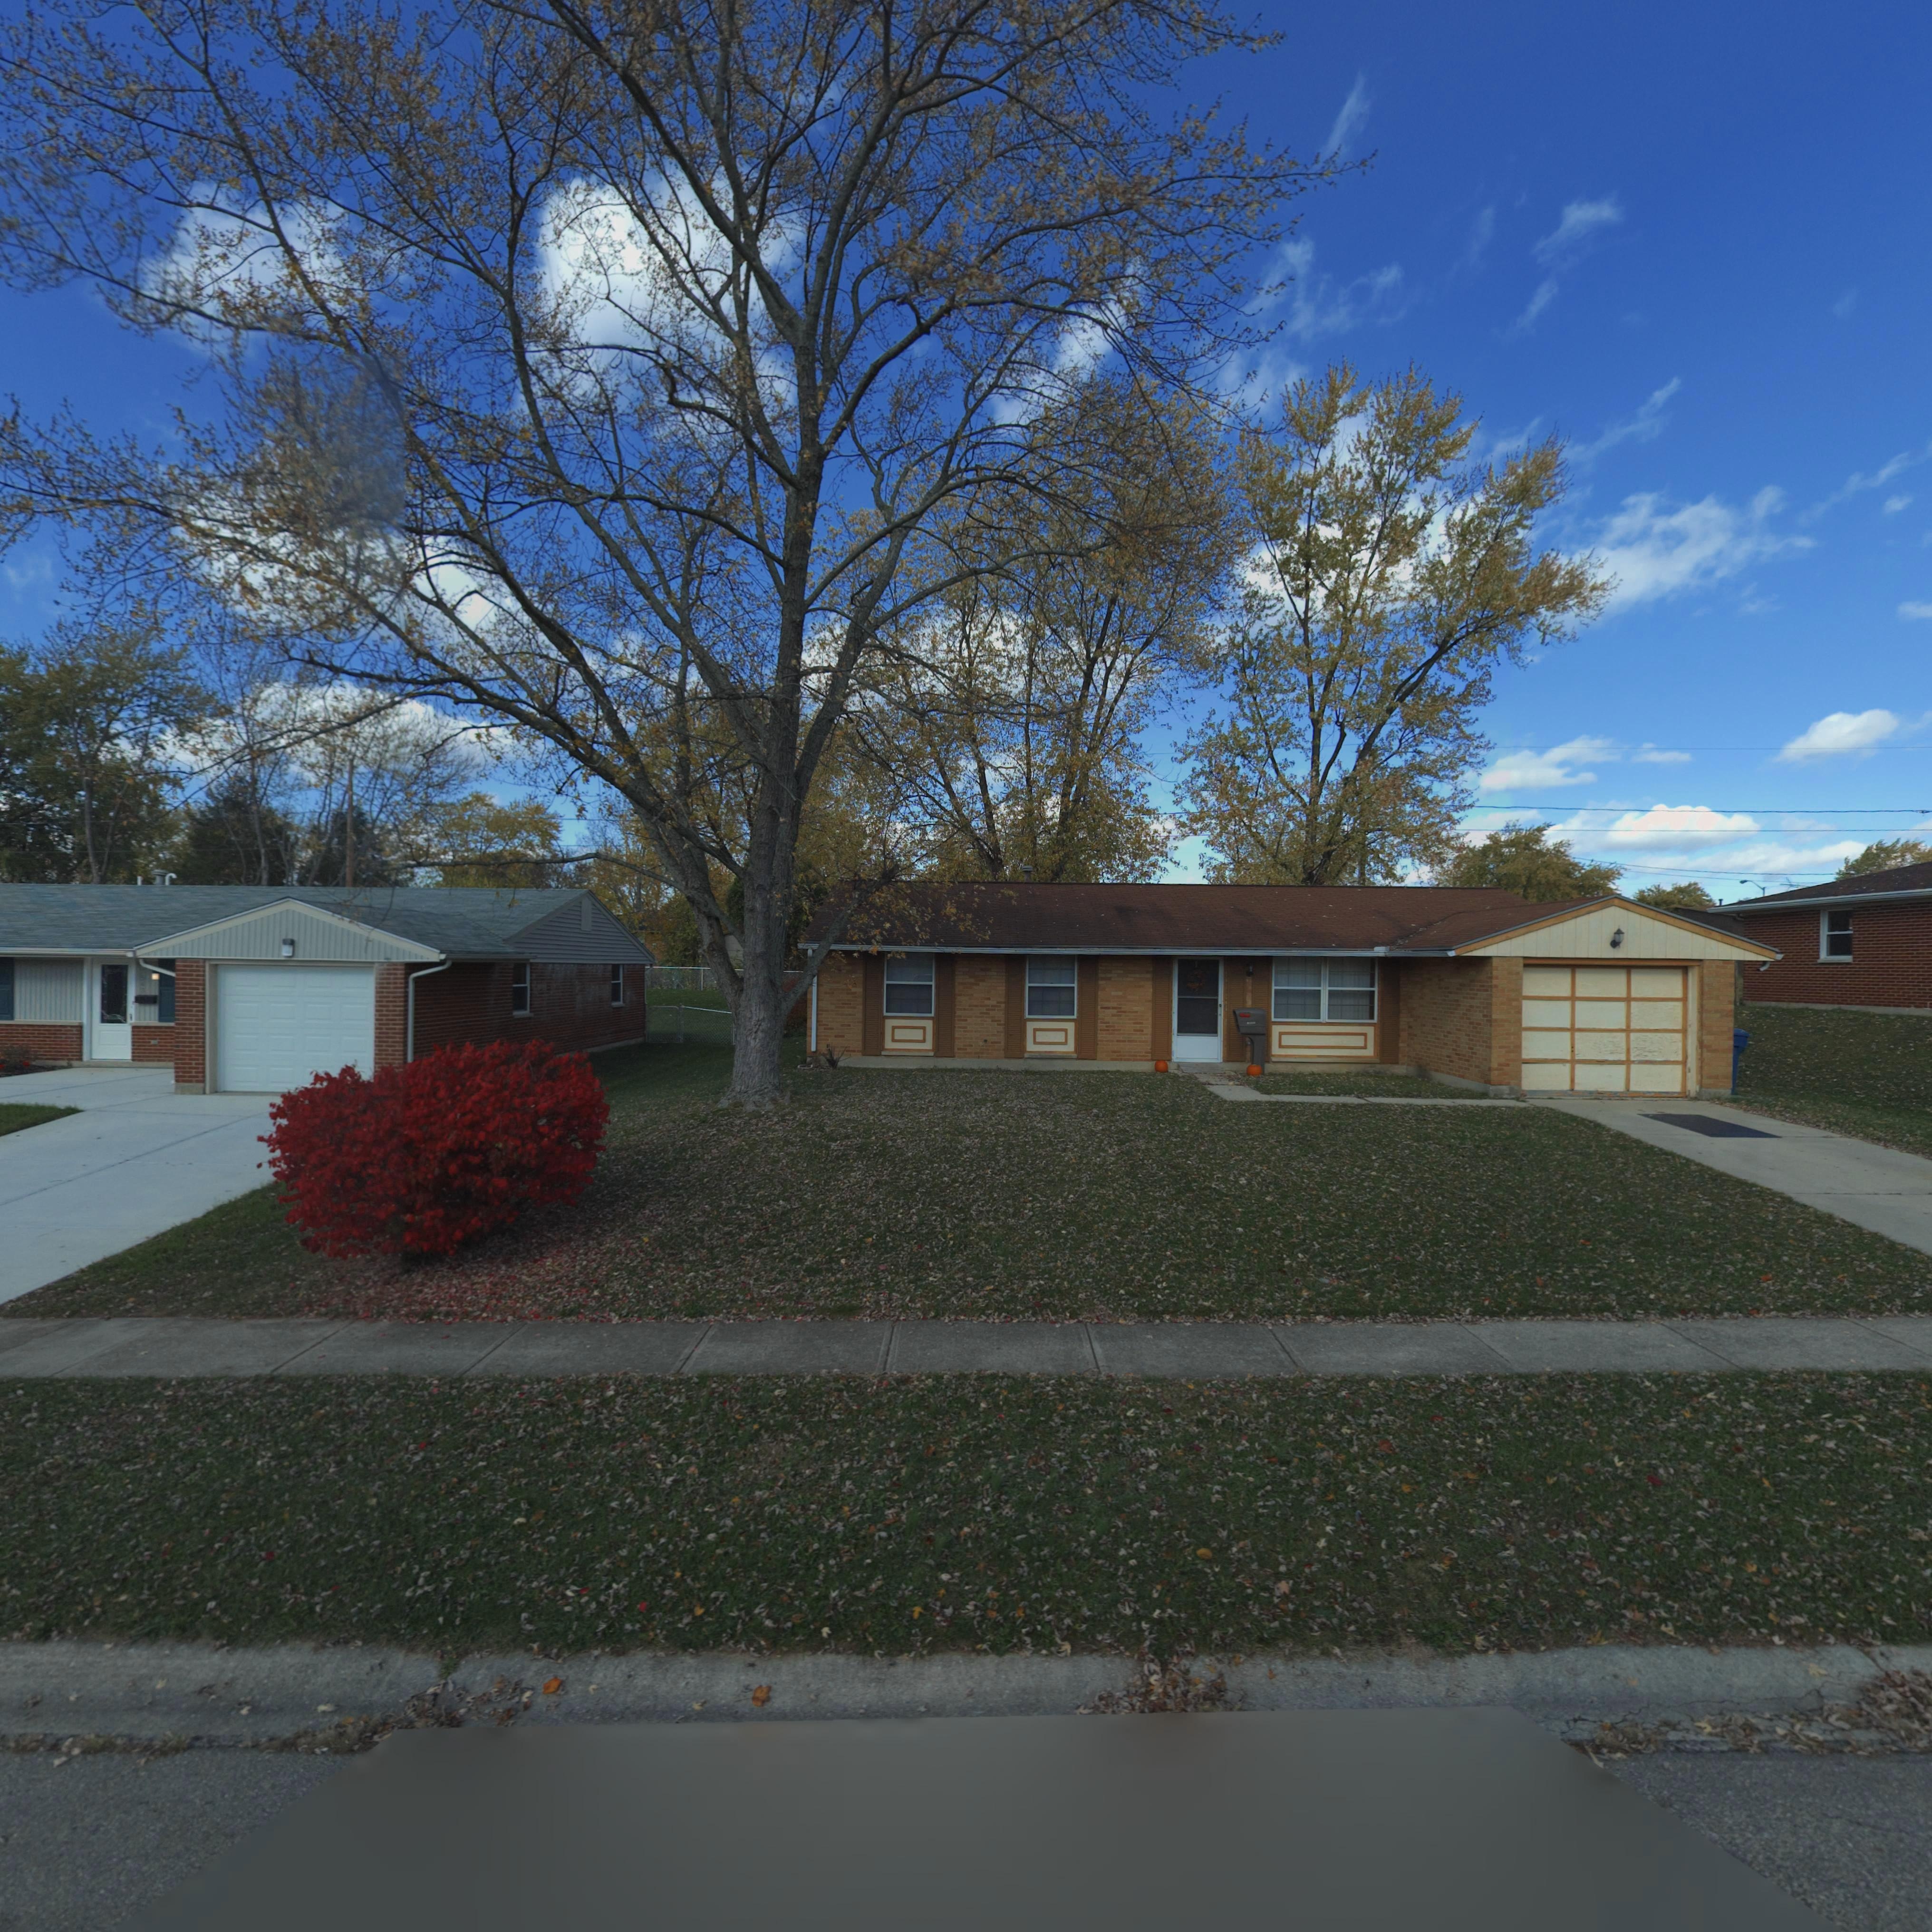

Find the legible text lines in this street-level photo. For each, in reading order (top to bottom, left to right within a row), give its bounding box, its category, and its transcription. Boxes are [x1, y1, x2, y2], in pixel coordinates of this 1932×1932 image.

[138, 974, 146, 993] StreetNumber: 543